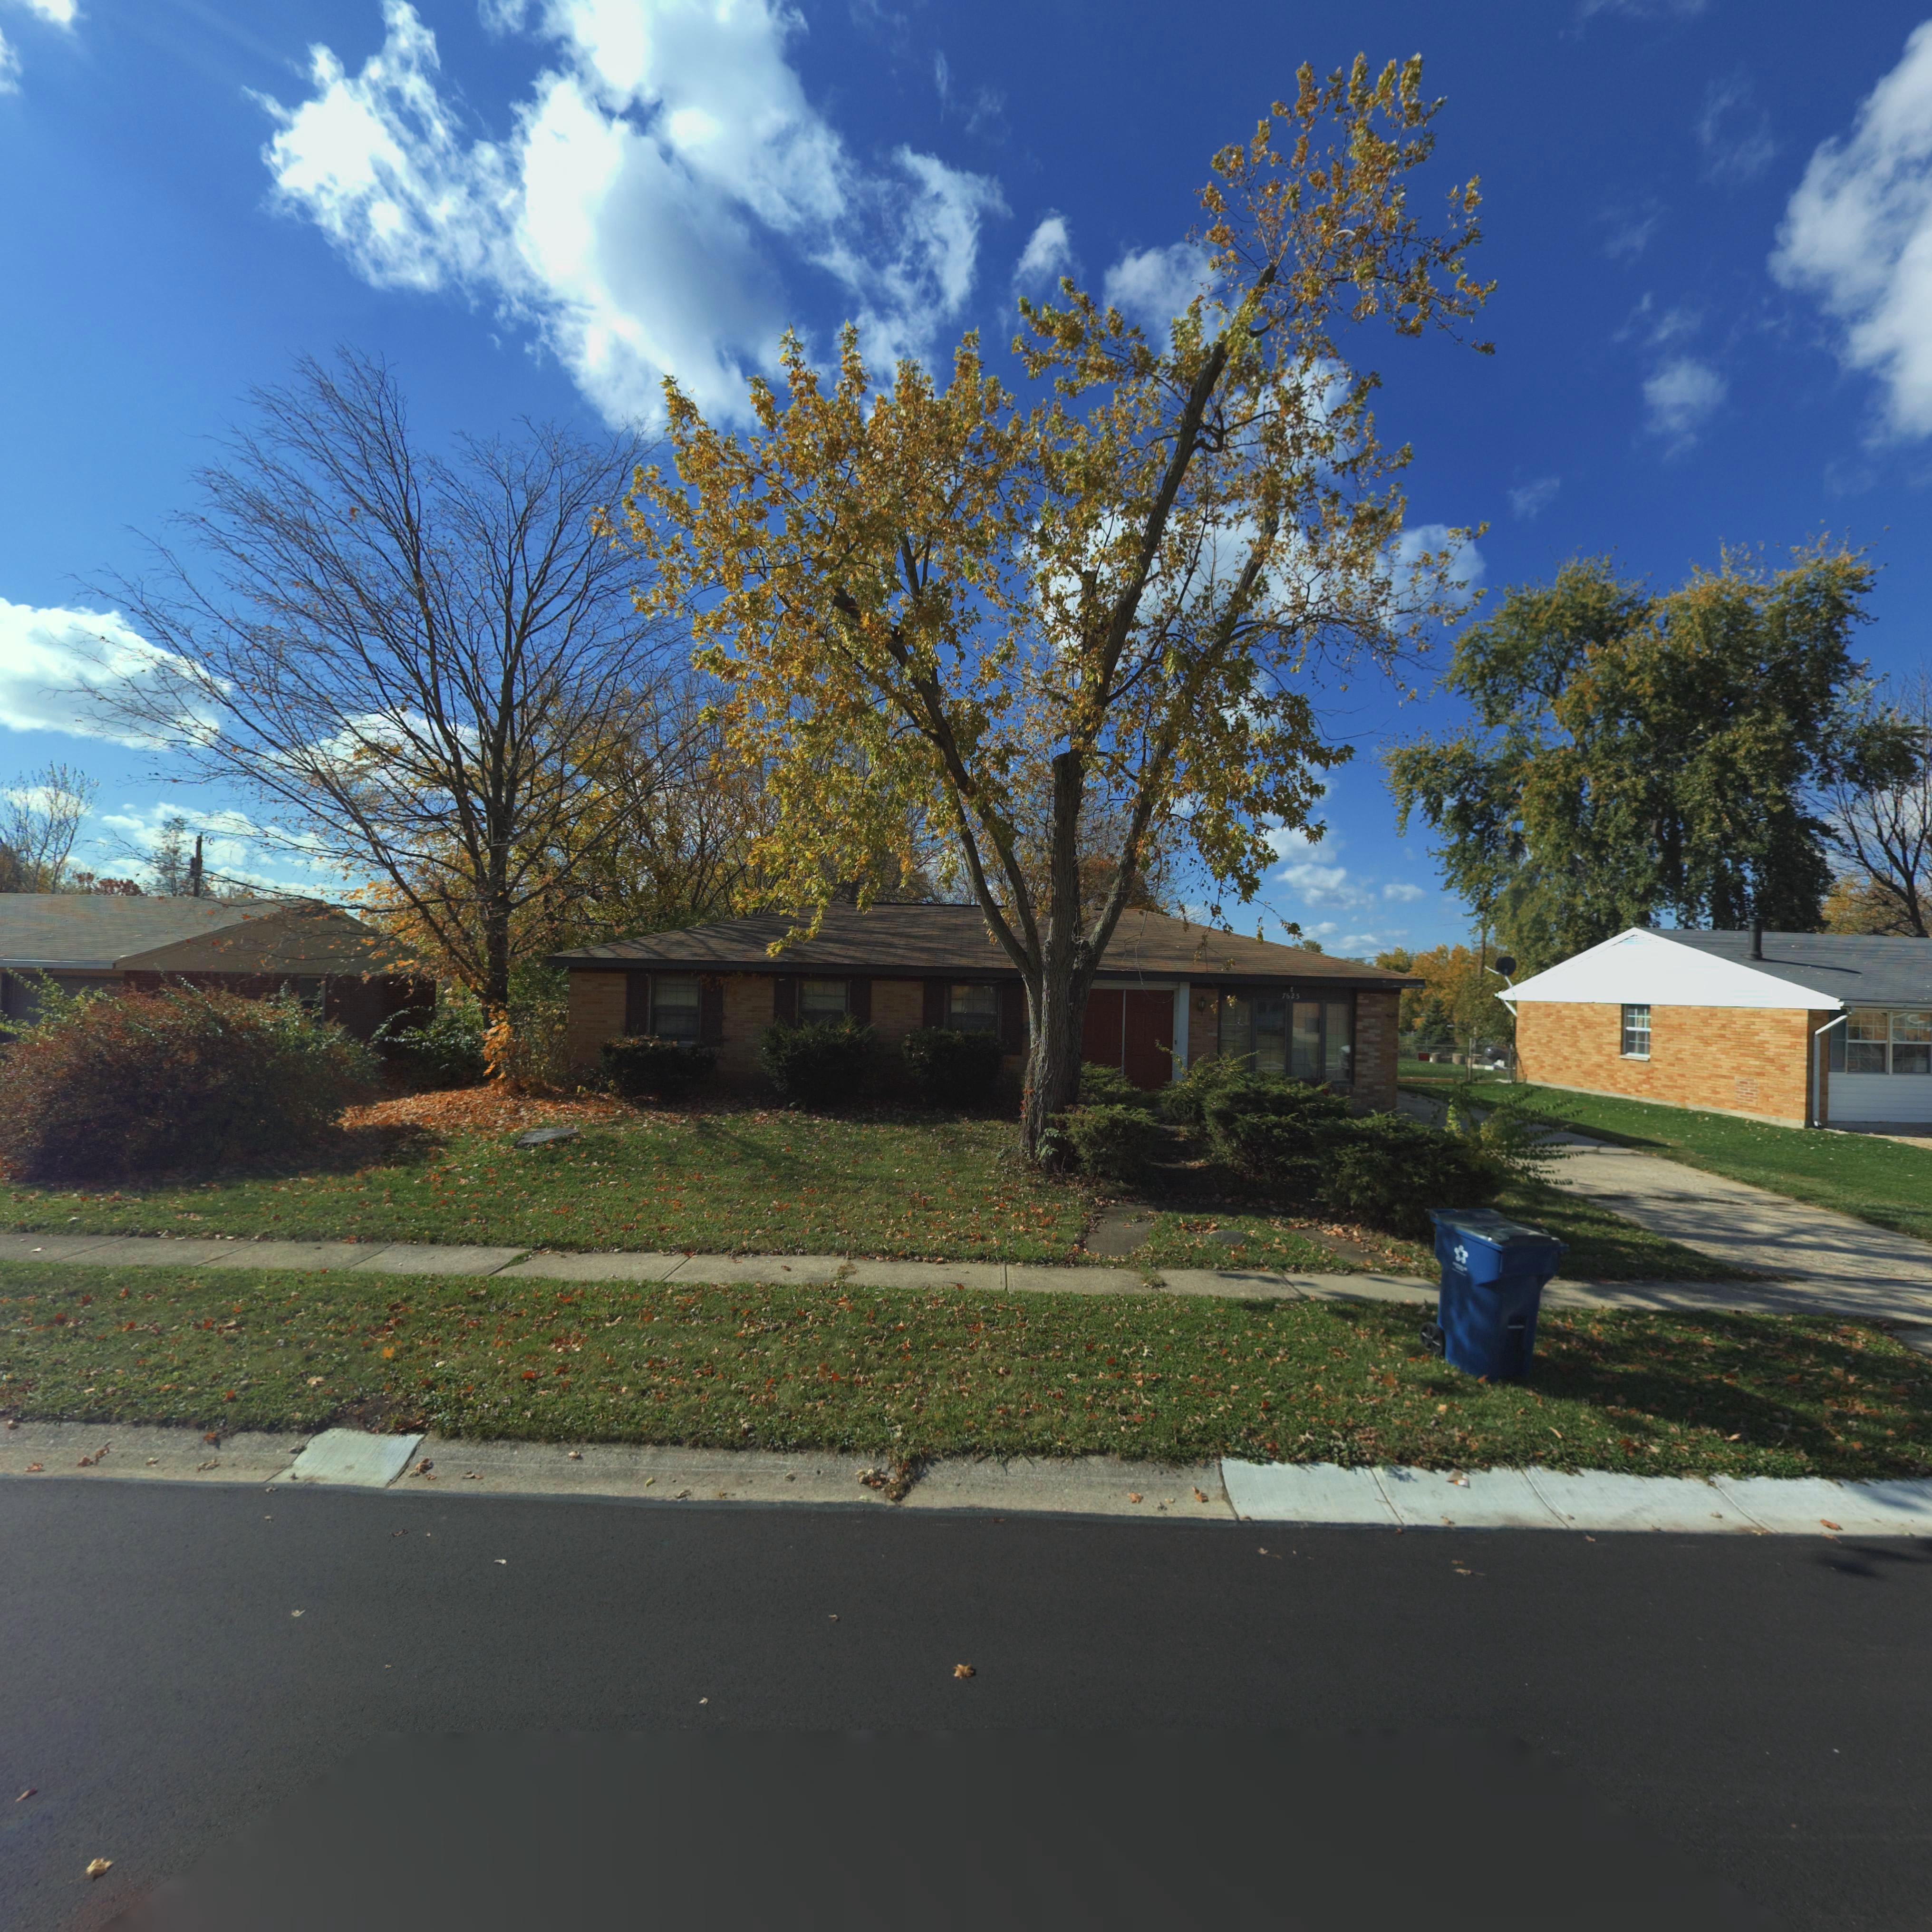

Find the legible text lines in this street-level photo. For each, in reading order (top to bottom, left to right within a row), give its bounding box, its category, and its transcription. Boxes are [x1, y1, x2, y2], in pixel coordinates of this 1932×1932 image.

[1281, 992, 1300, 1000] StreetNumber: 7625